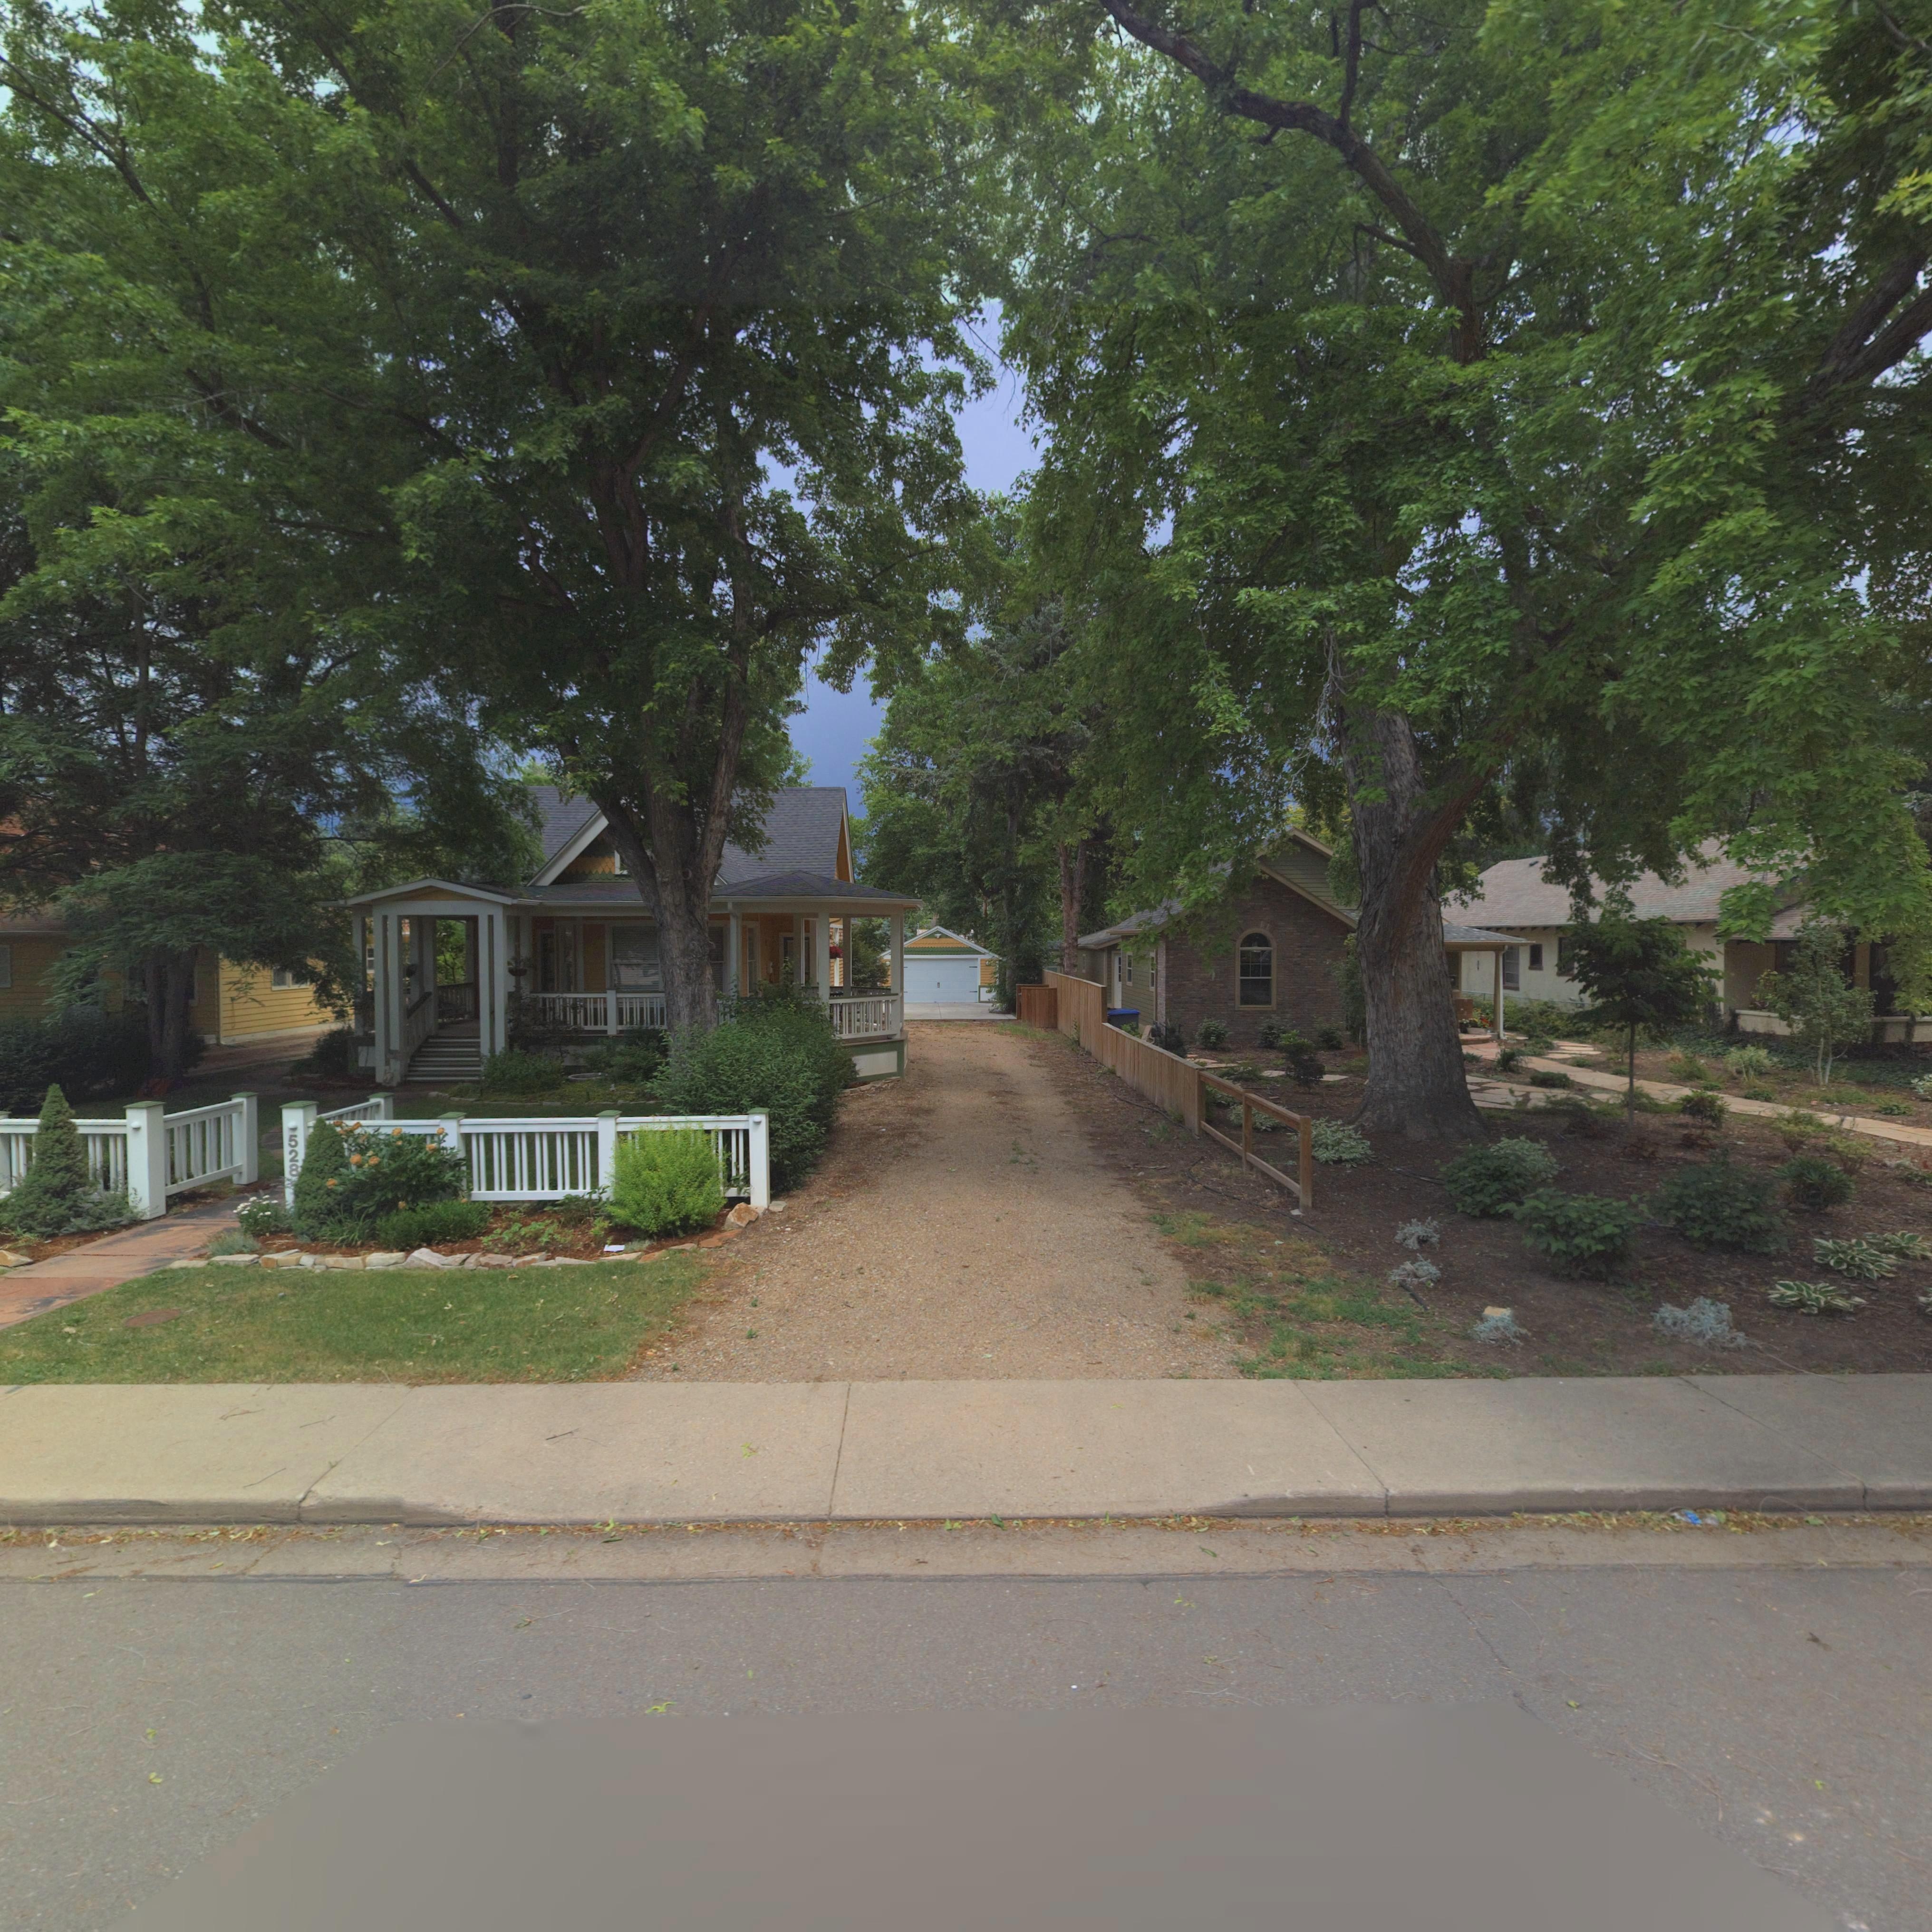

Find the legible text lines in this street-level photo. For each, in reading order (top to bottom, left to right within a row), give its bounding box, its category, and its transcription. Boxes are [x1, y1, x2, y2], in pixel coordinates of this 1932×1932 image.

[287, 1134, 299, 1177] StreetNumber: 528